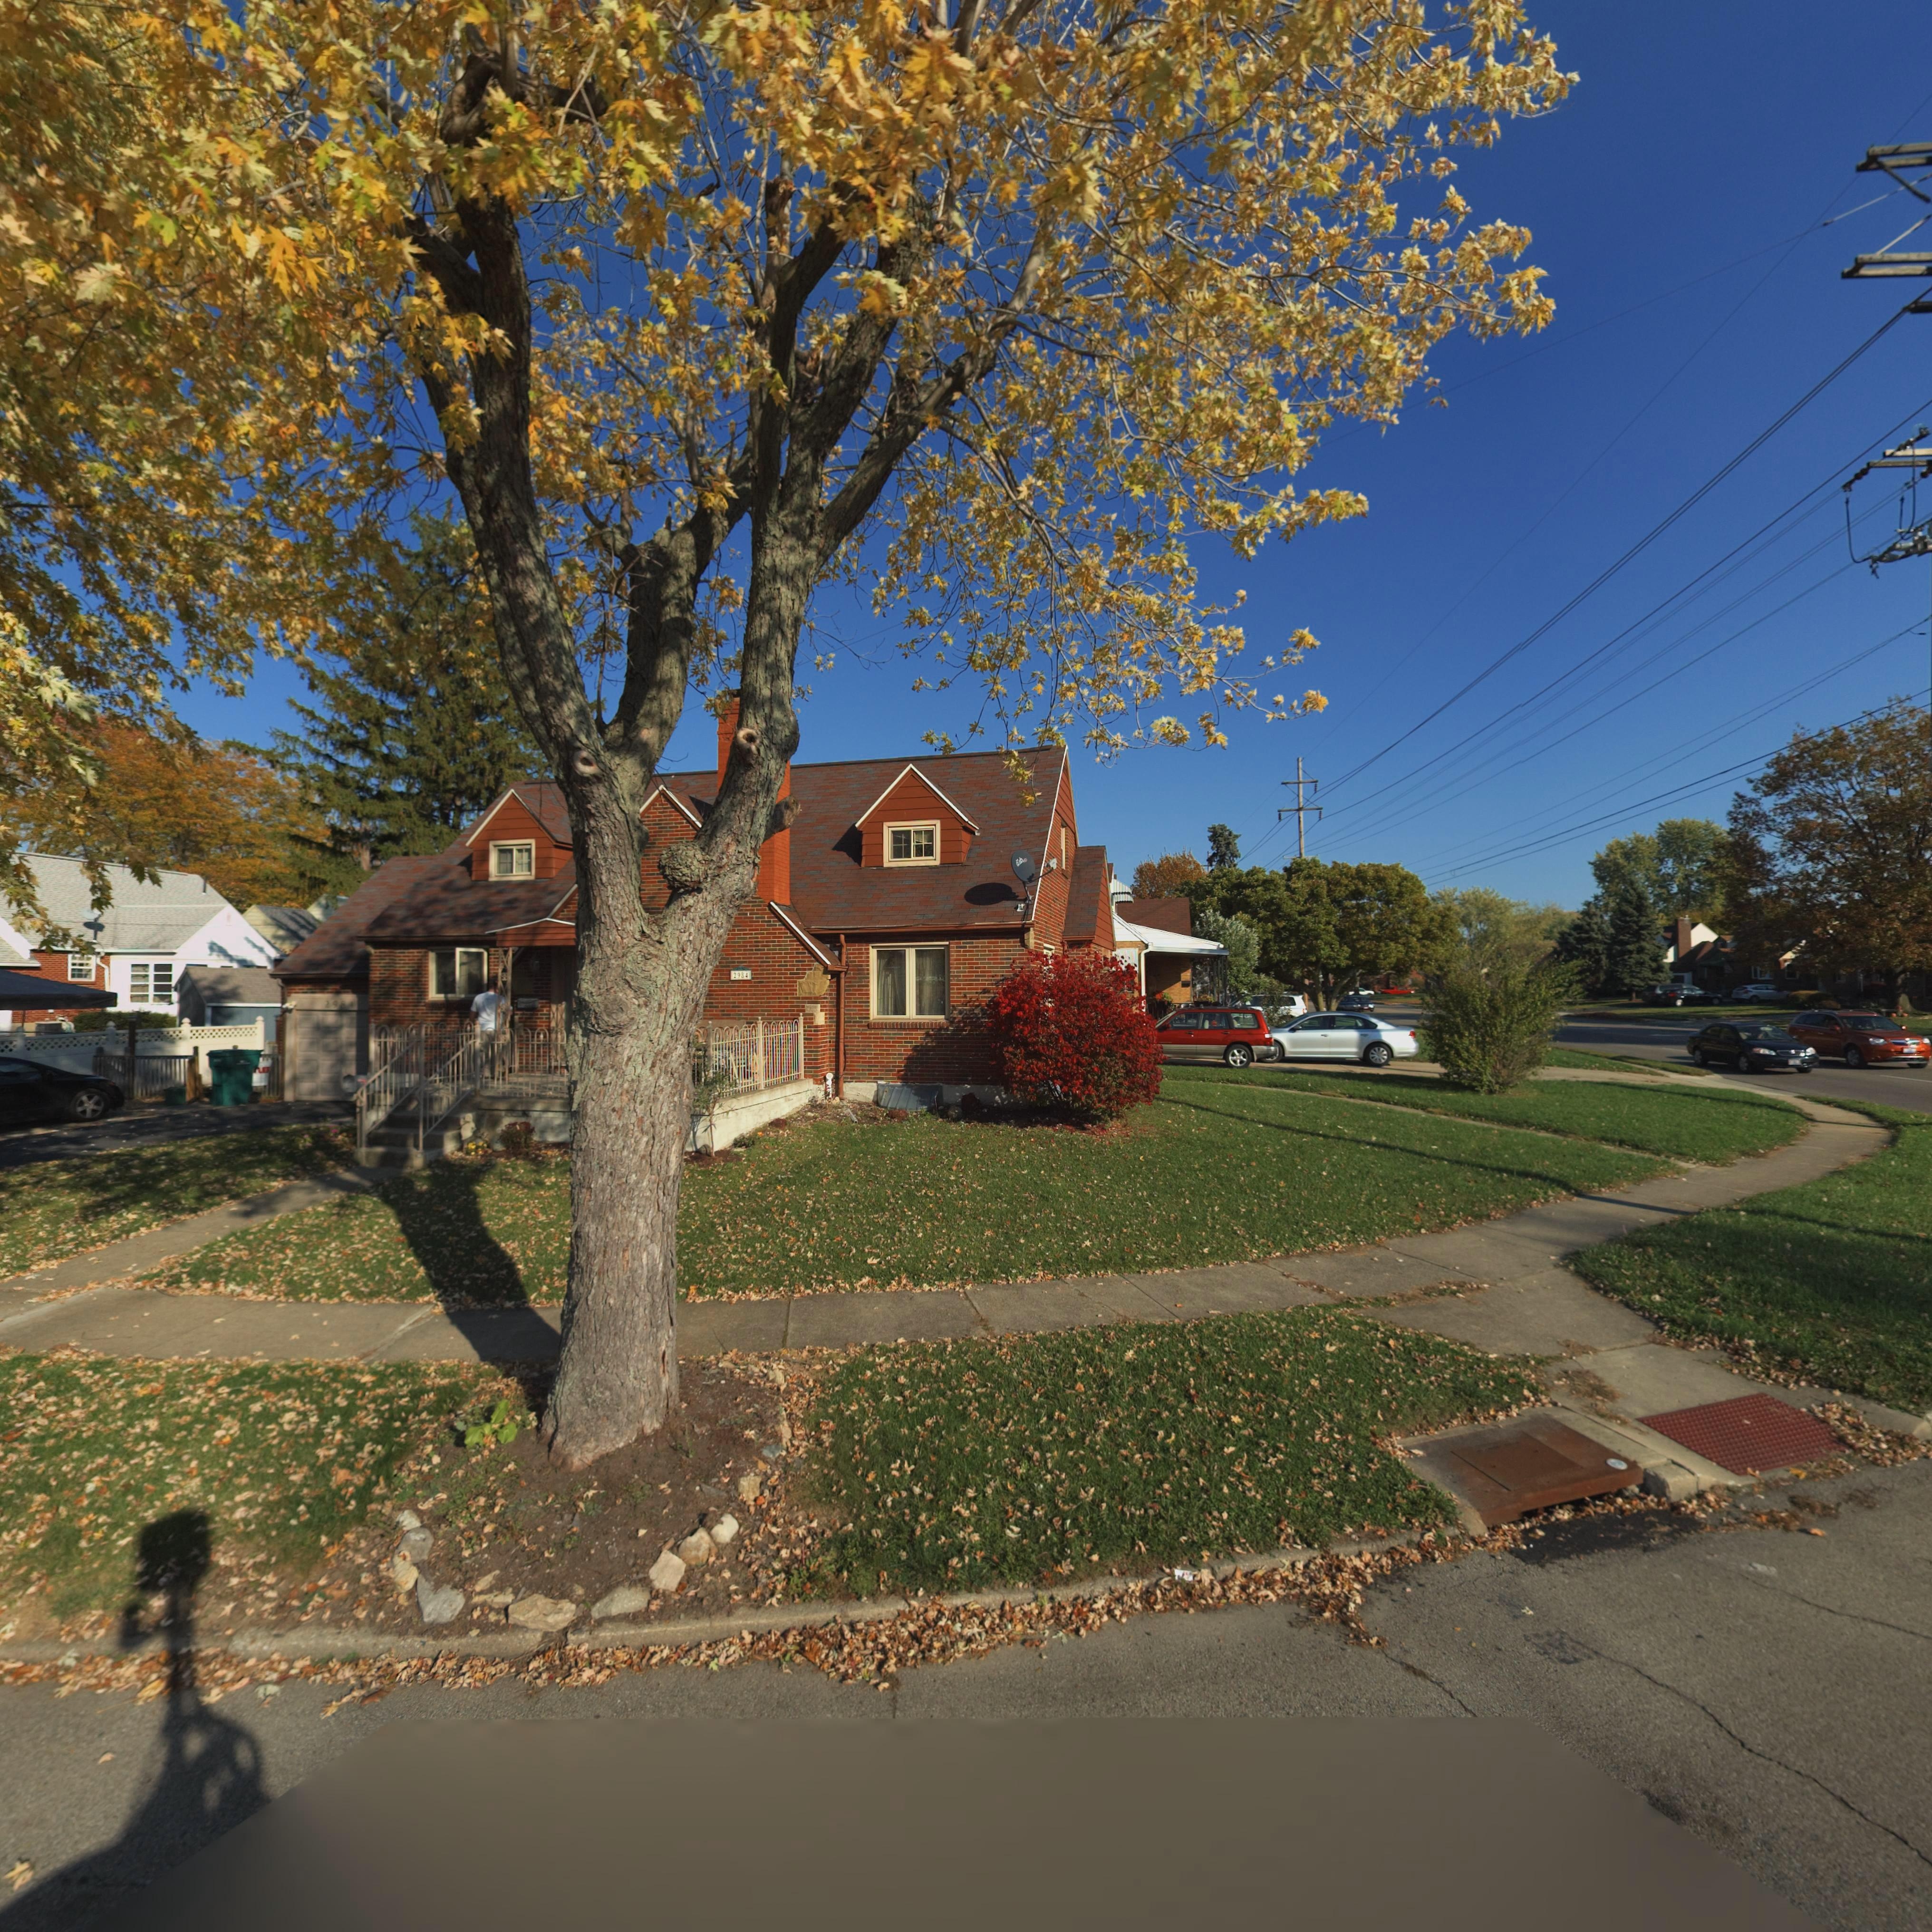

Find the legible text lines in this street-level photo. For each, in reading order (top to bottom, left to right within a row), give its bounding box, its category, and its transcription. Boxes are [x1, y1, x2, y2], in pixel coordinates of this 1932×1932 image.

[732, 971, 749, 979] StreetNumber: 2984
[324, 999, 356, 1010] StreetNumber: 29**
[257, 1066, 263, 1074] None: L